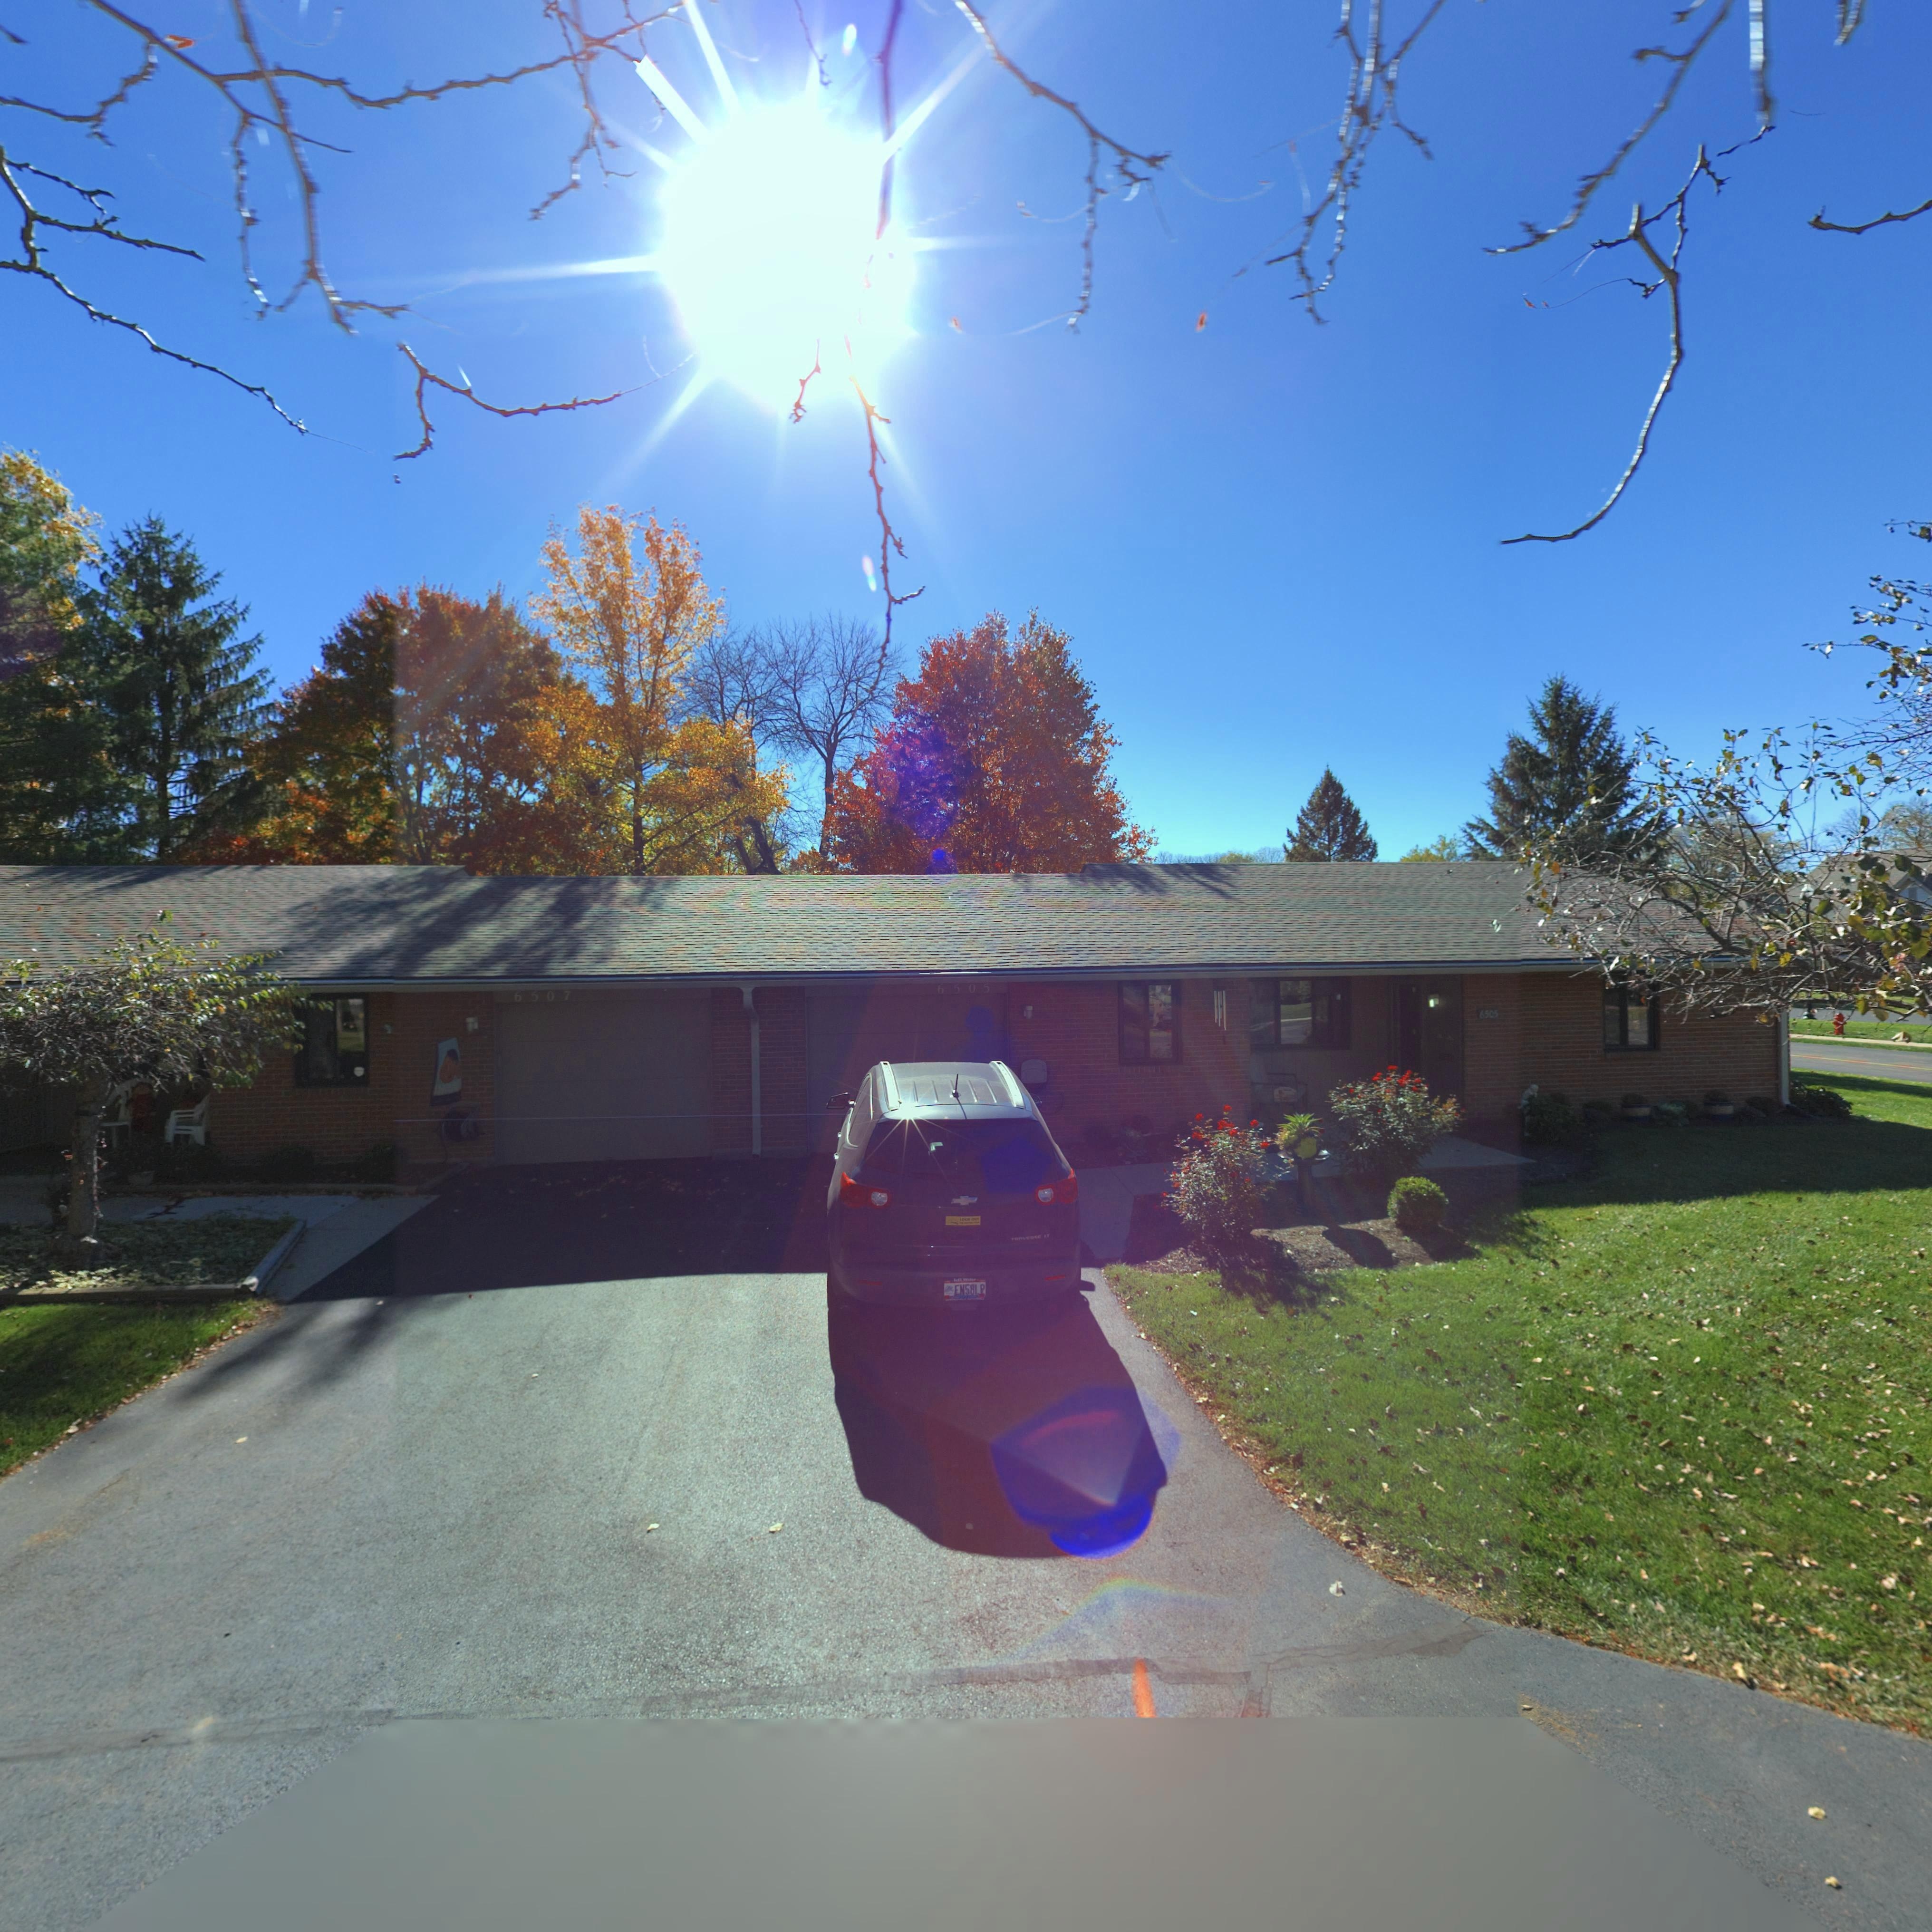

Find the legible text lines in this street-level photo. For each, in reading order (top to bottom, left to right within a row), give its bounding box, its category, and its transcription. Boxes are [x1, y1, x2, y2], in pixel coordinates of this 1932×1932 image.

[937, 982, 991, 996] StreetNumber: 6505
[513, 989, 572, 1004] StreetNumber: 6507
[1478, 1009, 1500, 1020] StreetNumber: 6505